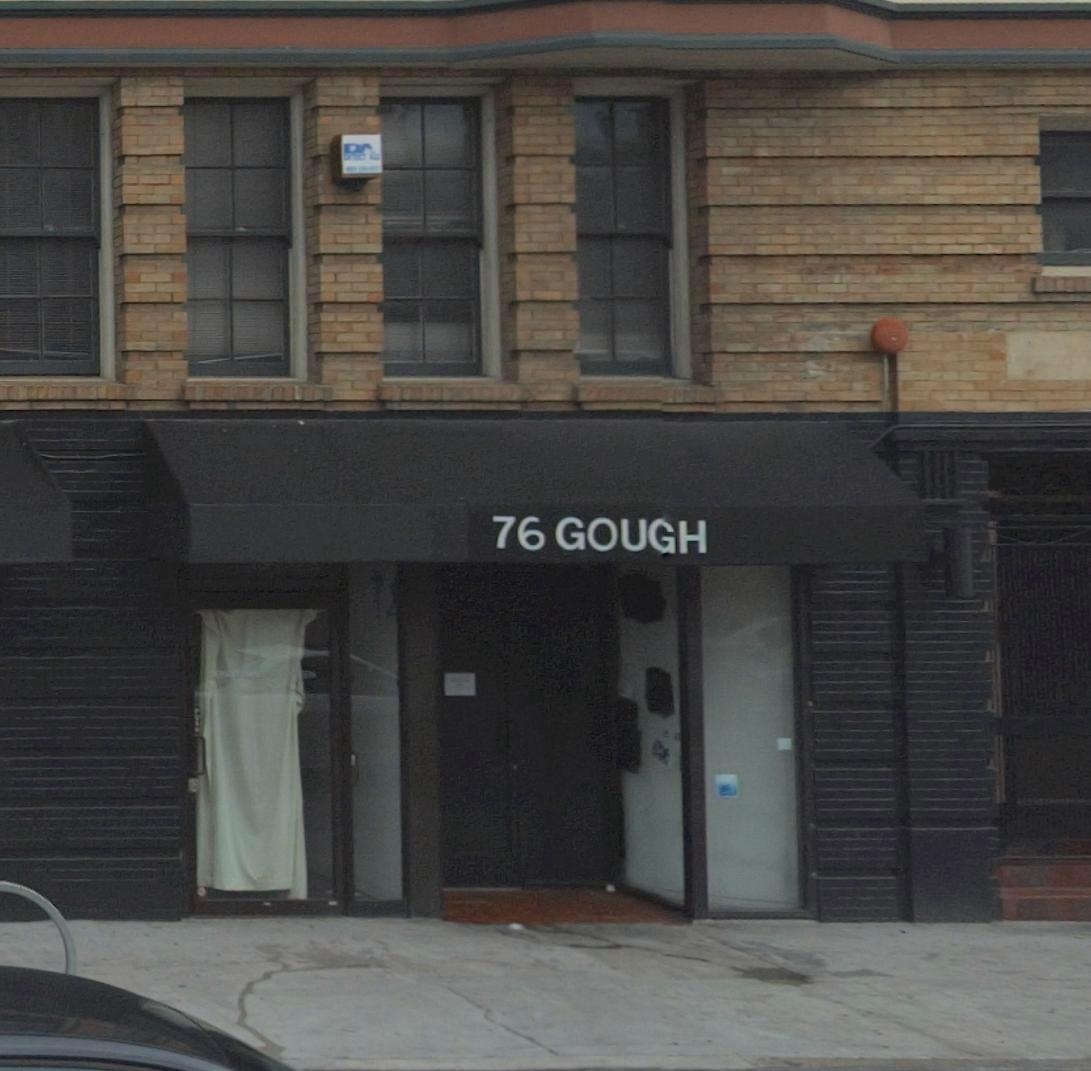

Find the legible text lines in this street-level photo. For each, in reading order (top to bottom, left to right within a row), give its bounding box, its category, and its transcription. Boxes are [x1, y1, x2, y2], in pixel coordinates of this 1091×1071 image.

[492, 511, 547, 553] StreetNumber: 76
[554, 515, 708, 556] StreetName: GOUGH